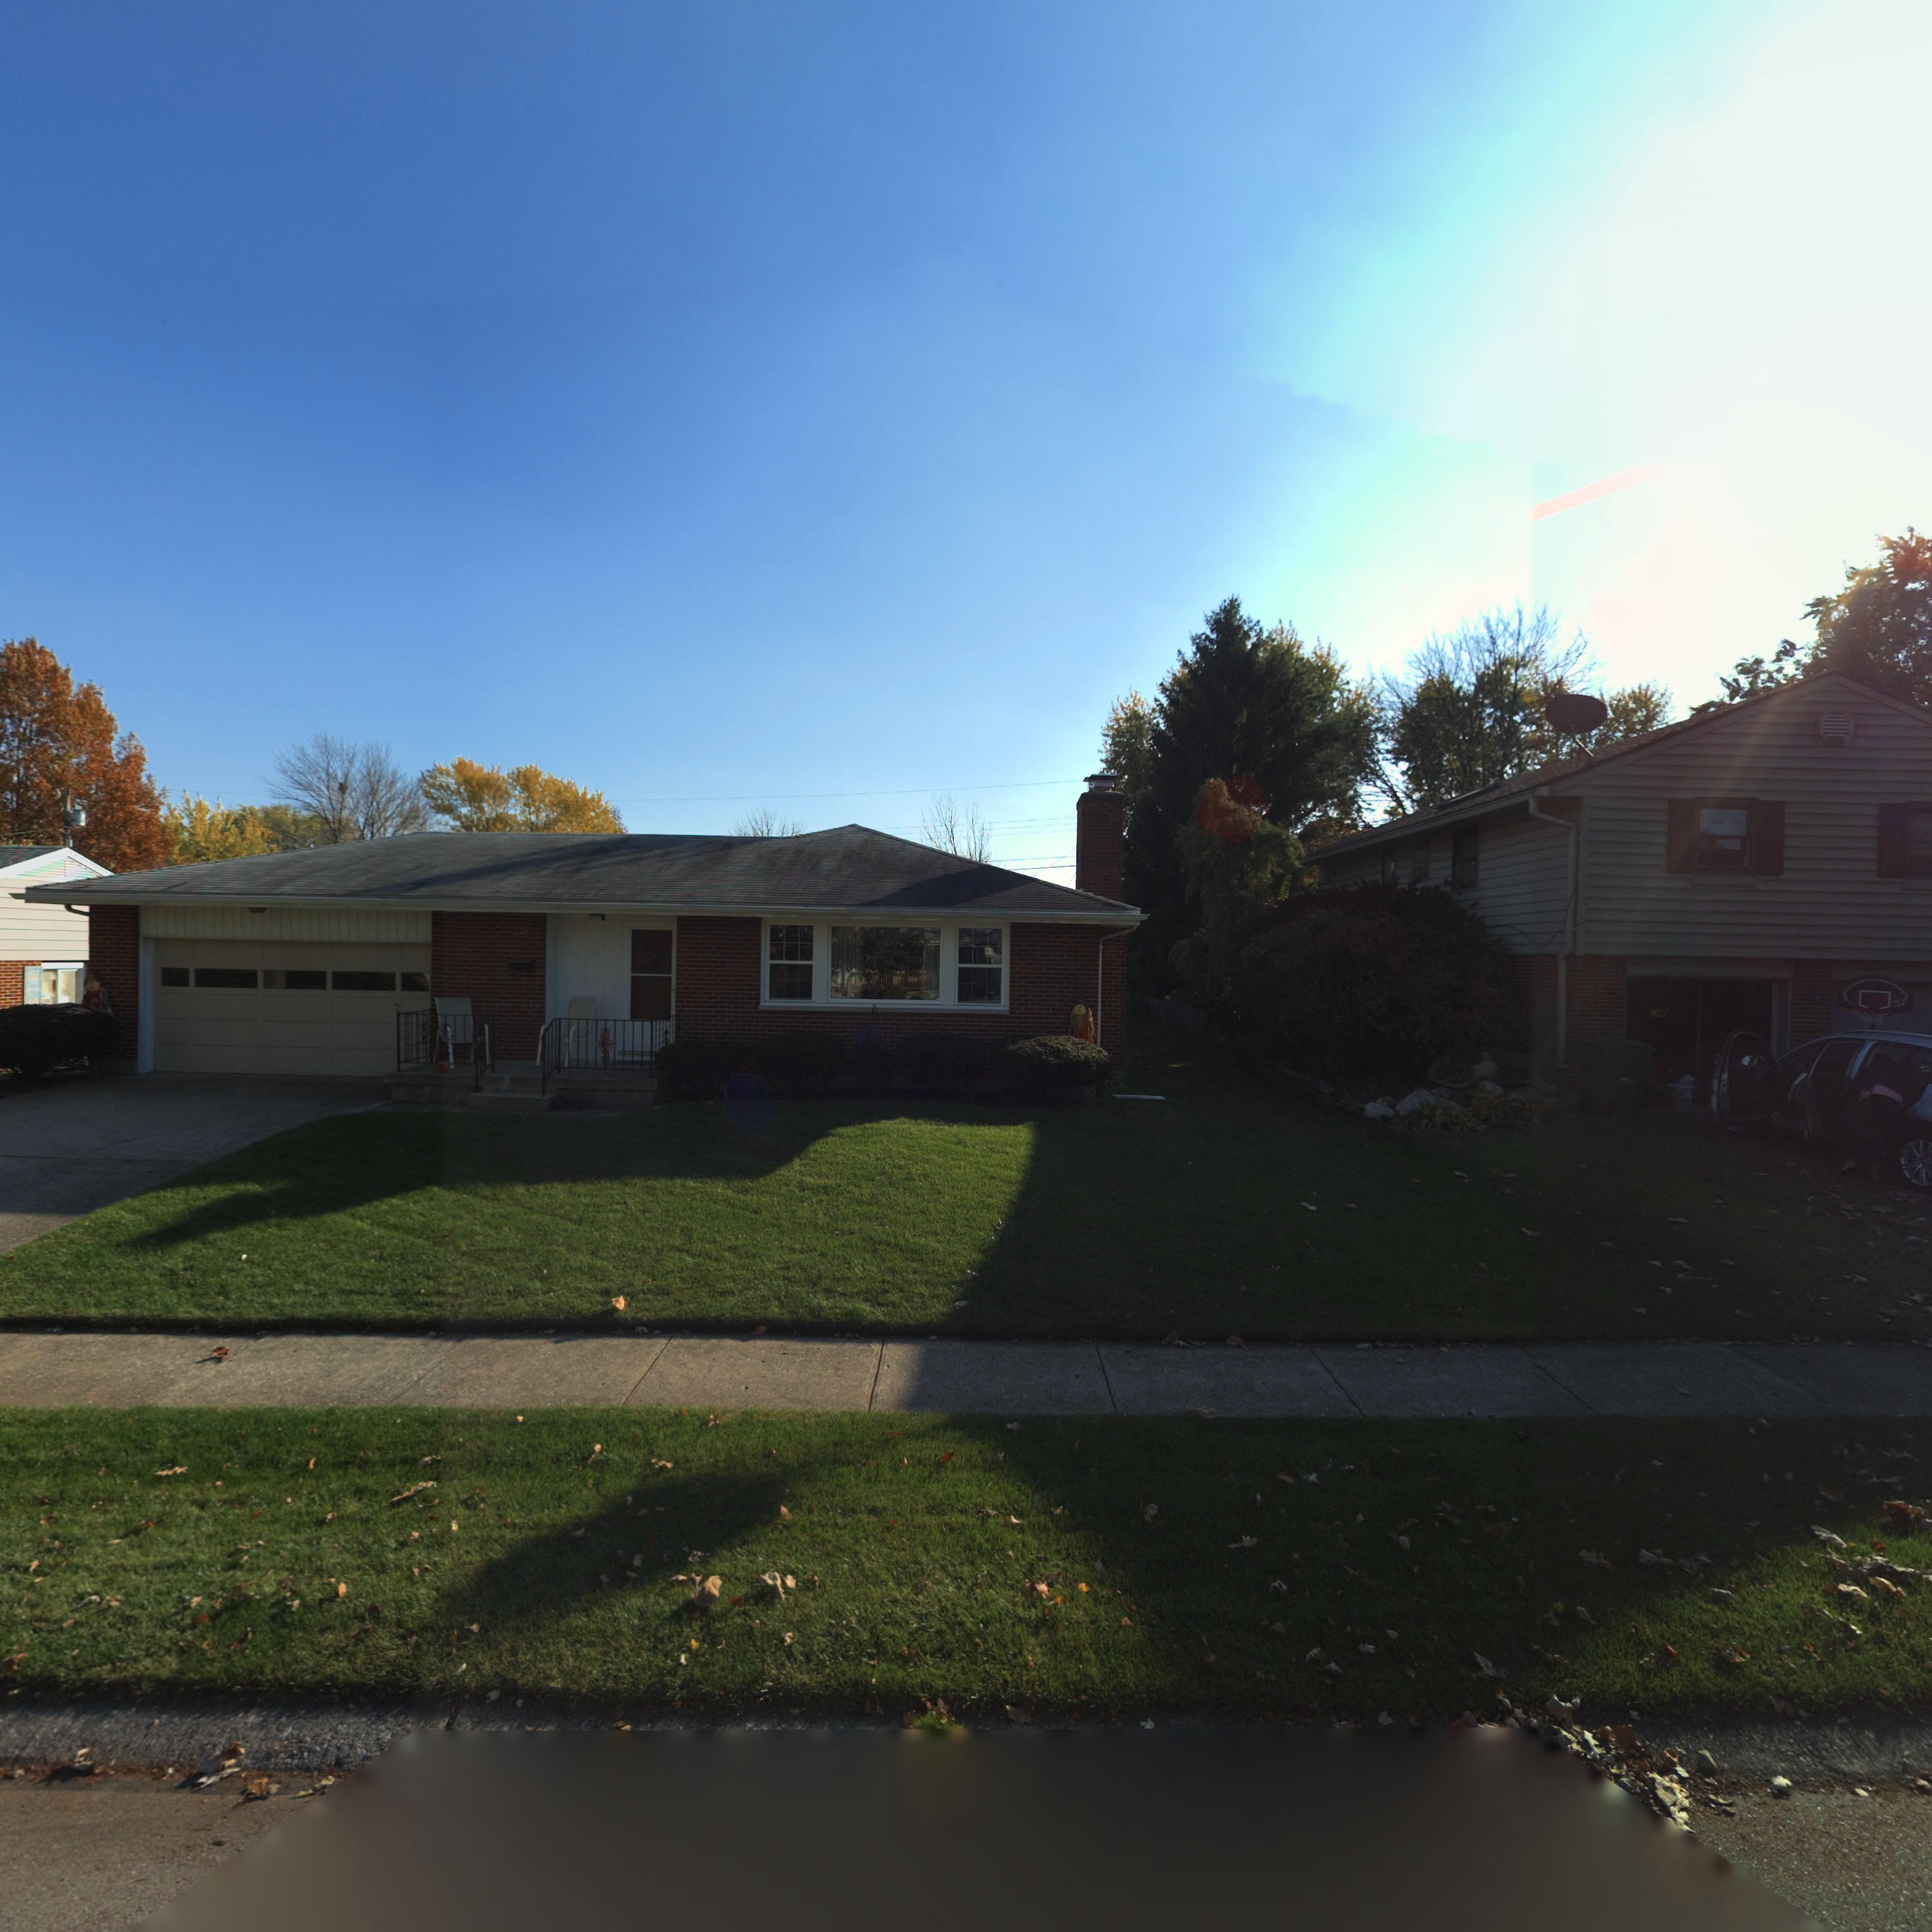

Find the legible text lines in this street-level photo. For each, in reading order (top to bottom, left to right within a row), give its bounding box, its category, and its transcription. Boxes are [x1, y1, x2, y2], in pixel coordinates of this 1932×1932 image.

[514, 929, 529, 936] StreetNumber: 640